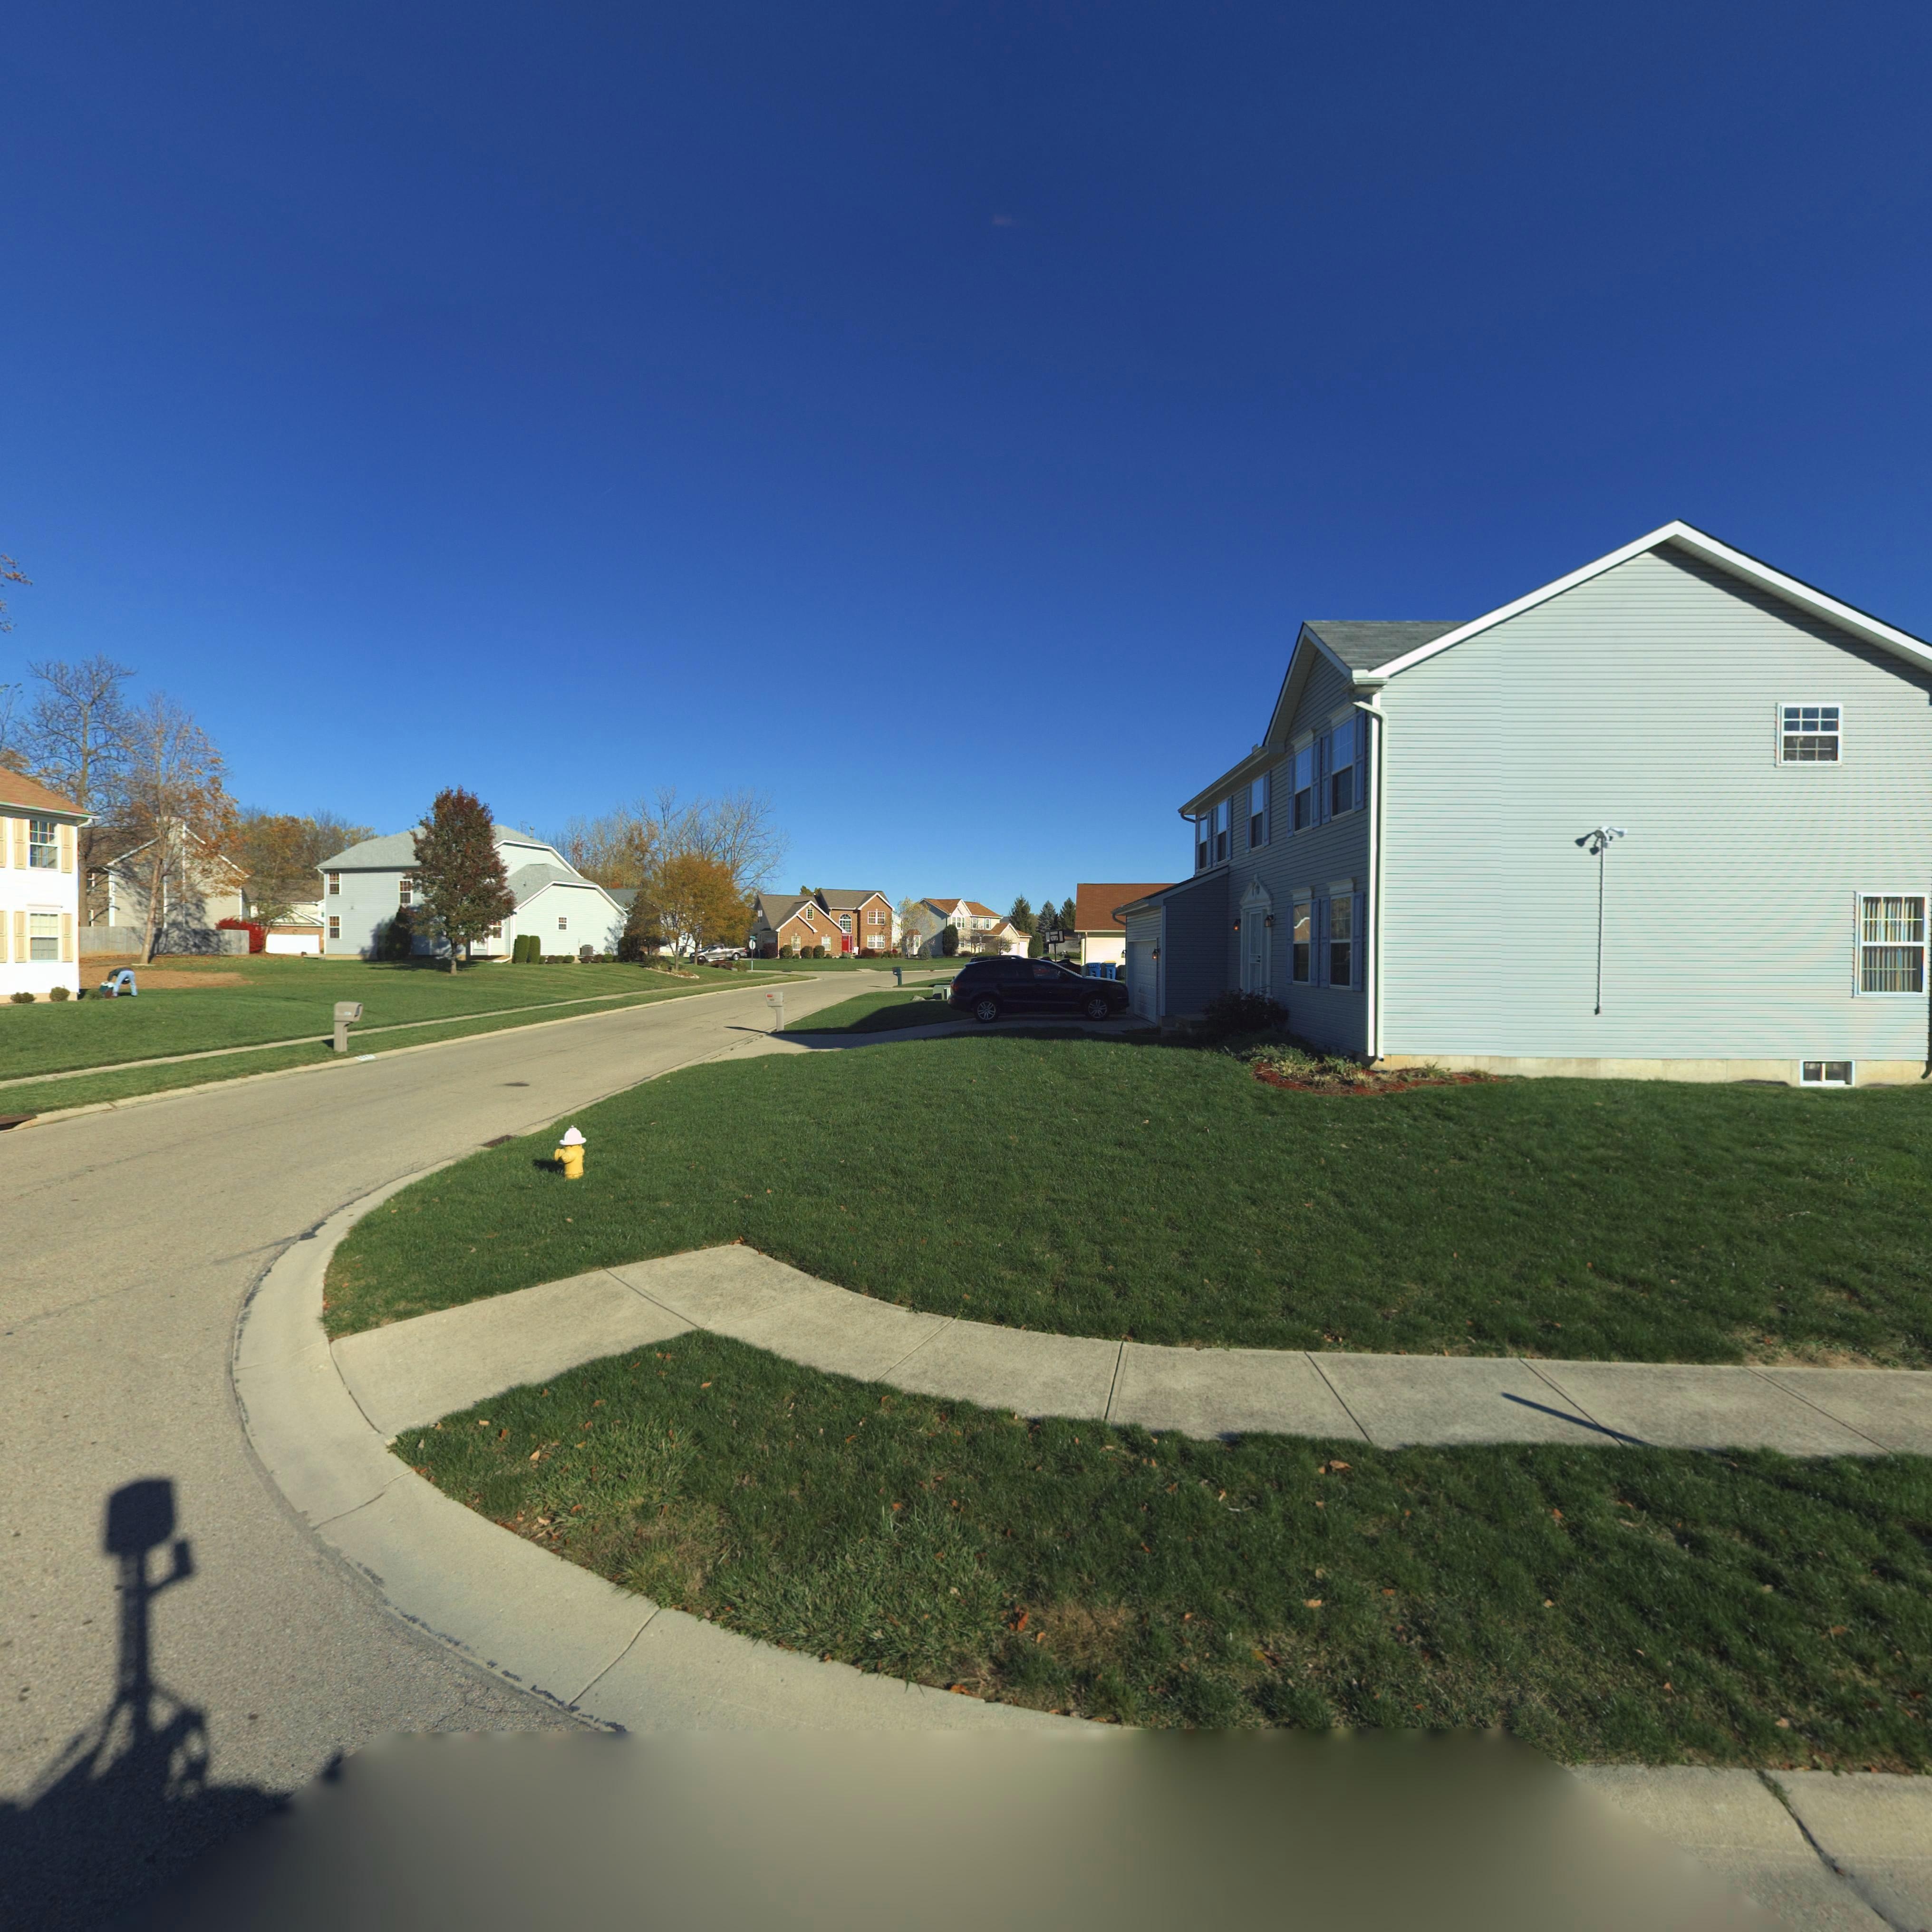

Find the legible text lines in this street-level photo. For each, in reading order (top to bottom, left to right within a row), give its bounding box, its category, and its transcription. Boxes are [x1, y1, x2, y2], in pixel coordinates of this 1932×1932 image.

[355, 1053, 372, 1060] StreetNumber: **4*